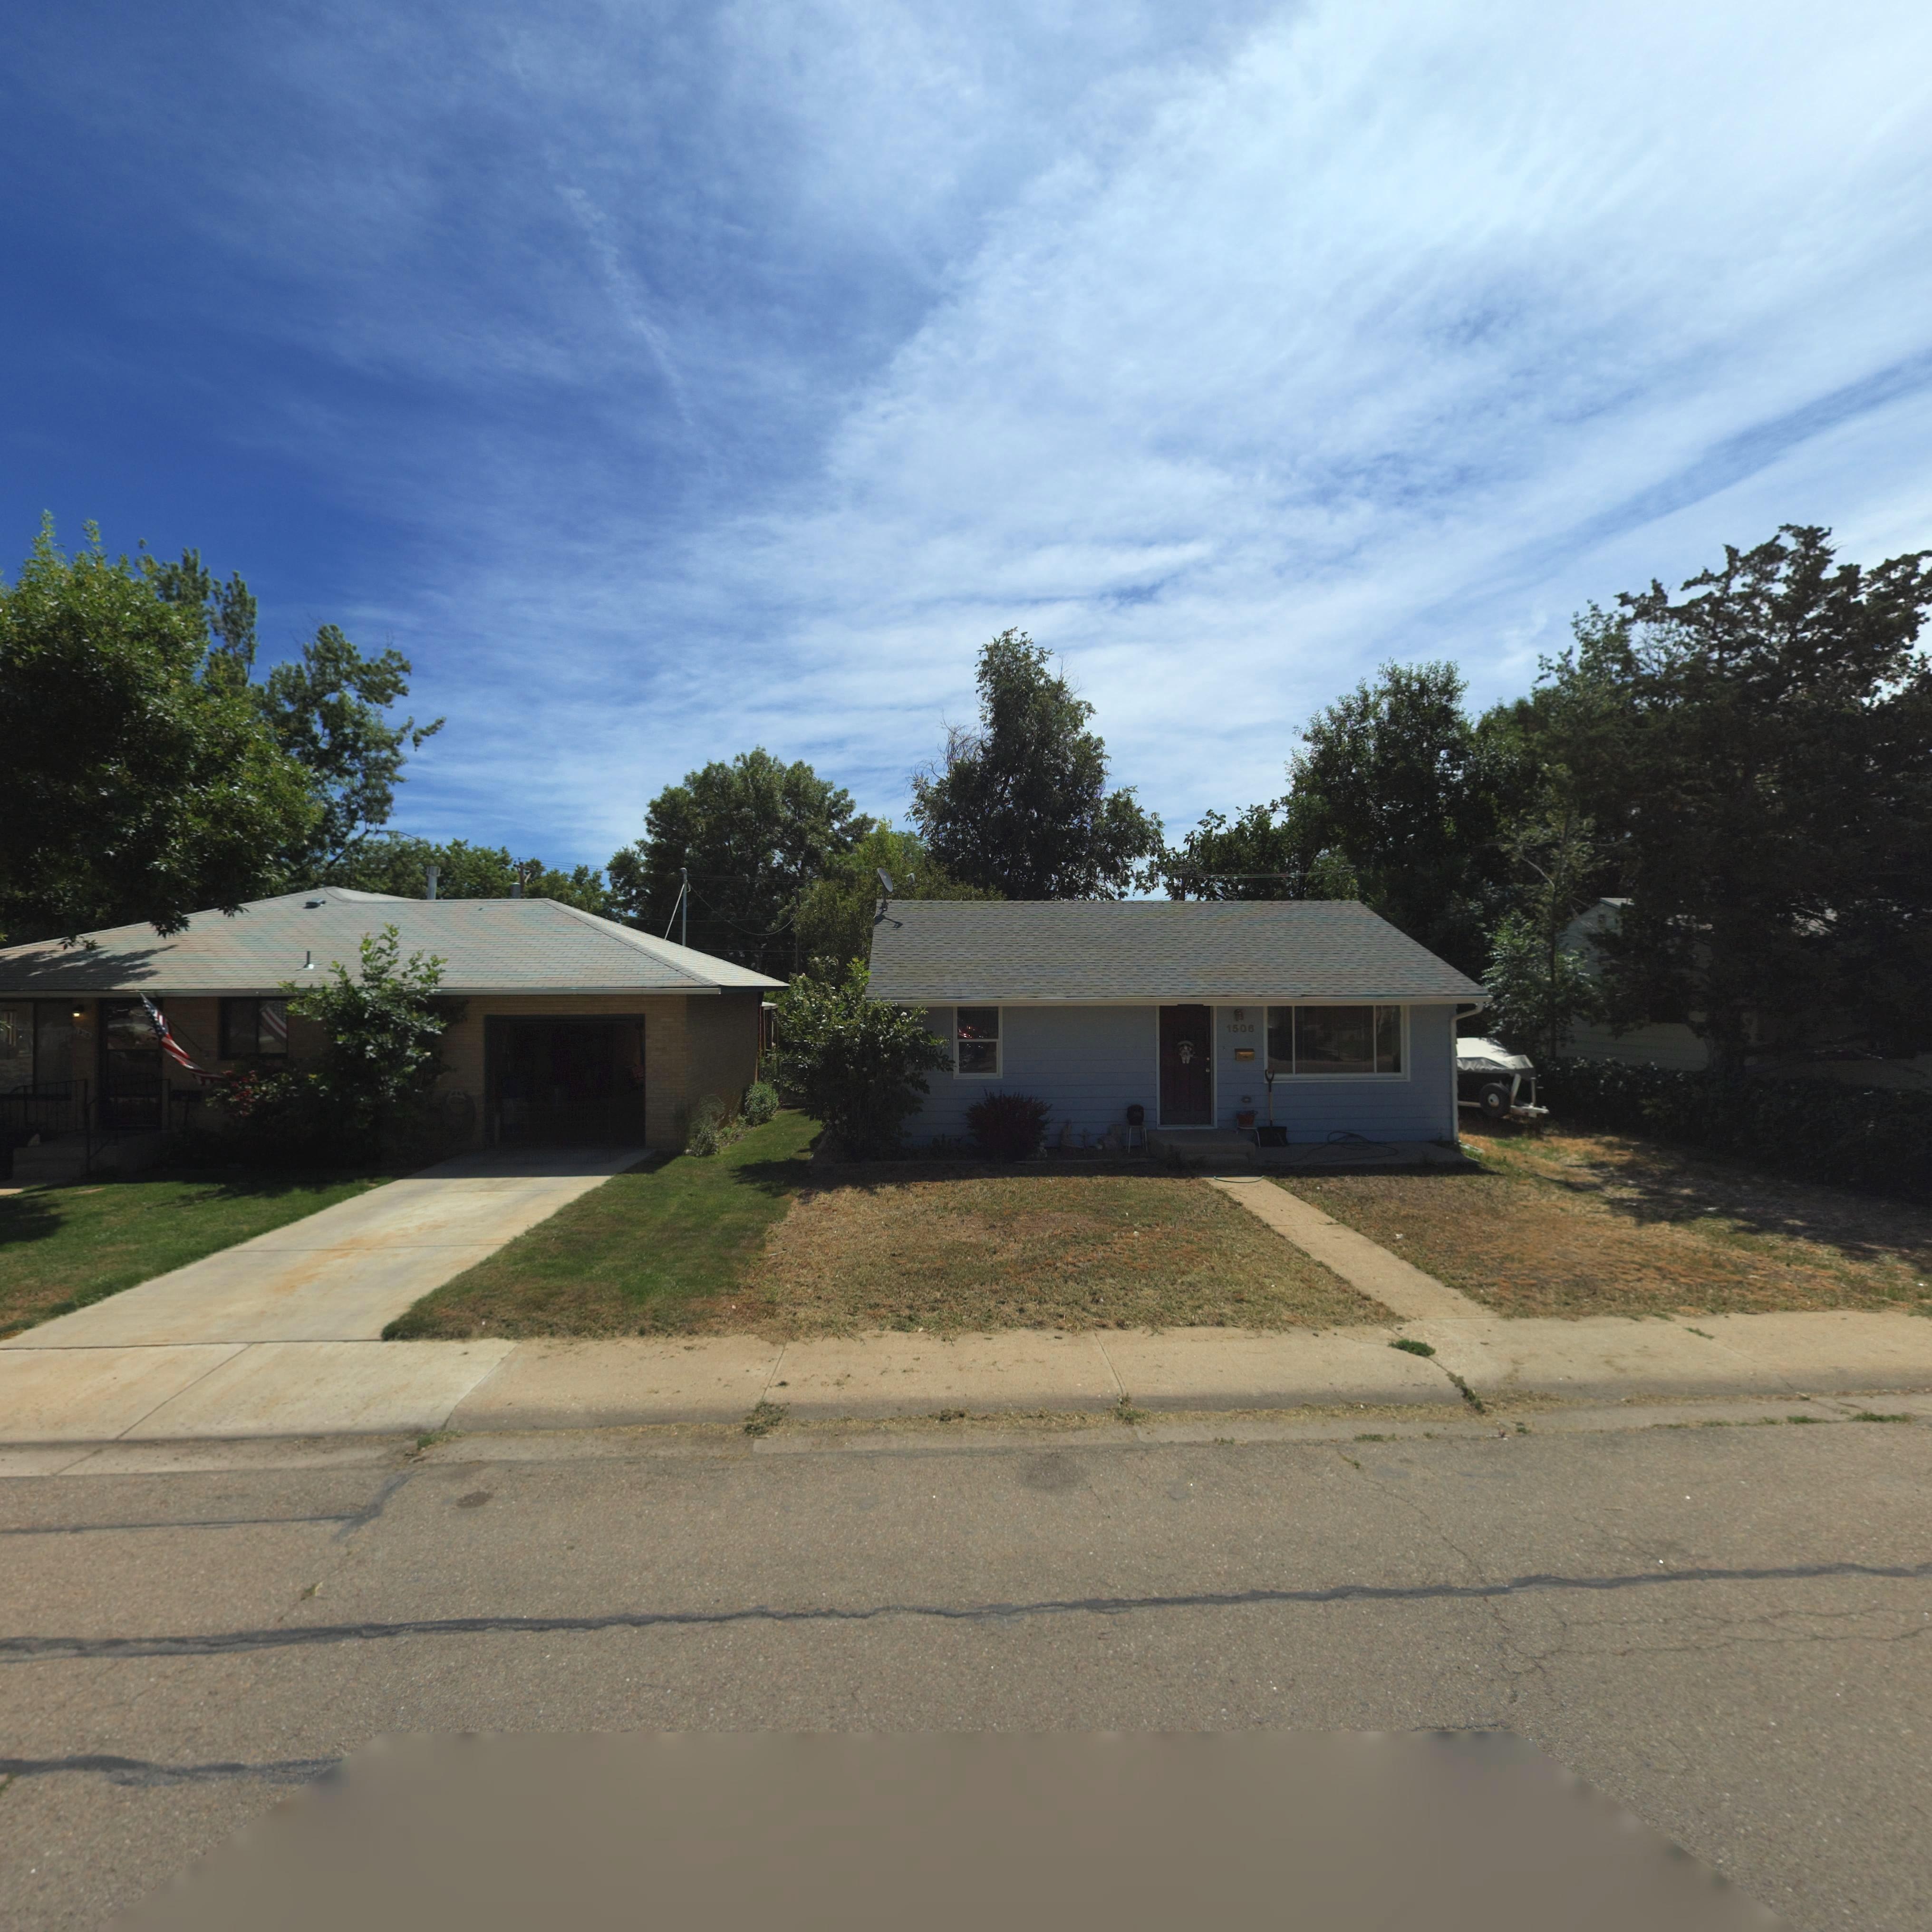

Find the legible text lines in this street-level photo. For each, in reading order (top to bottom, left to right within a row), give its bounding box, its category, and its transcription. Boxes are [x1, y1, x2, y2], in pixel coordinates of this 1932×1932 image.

[1226, 1023, 1255, 1033] StreetNumber: 1506